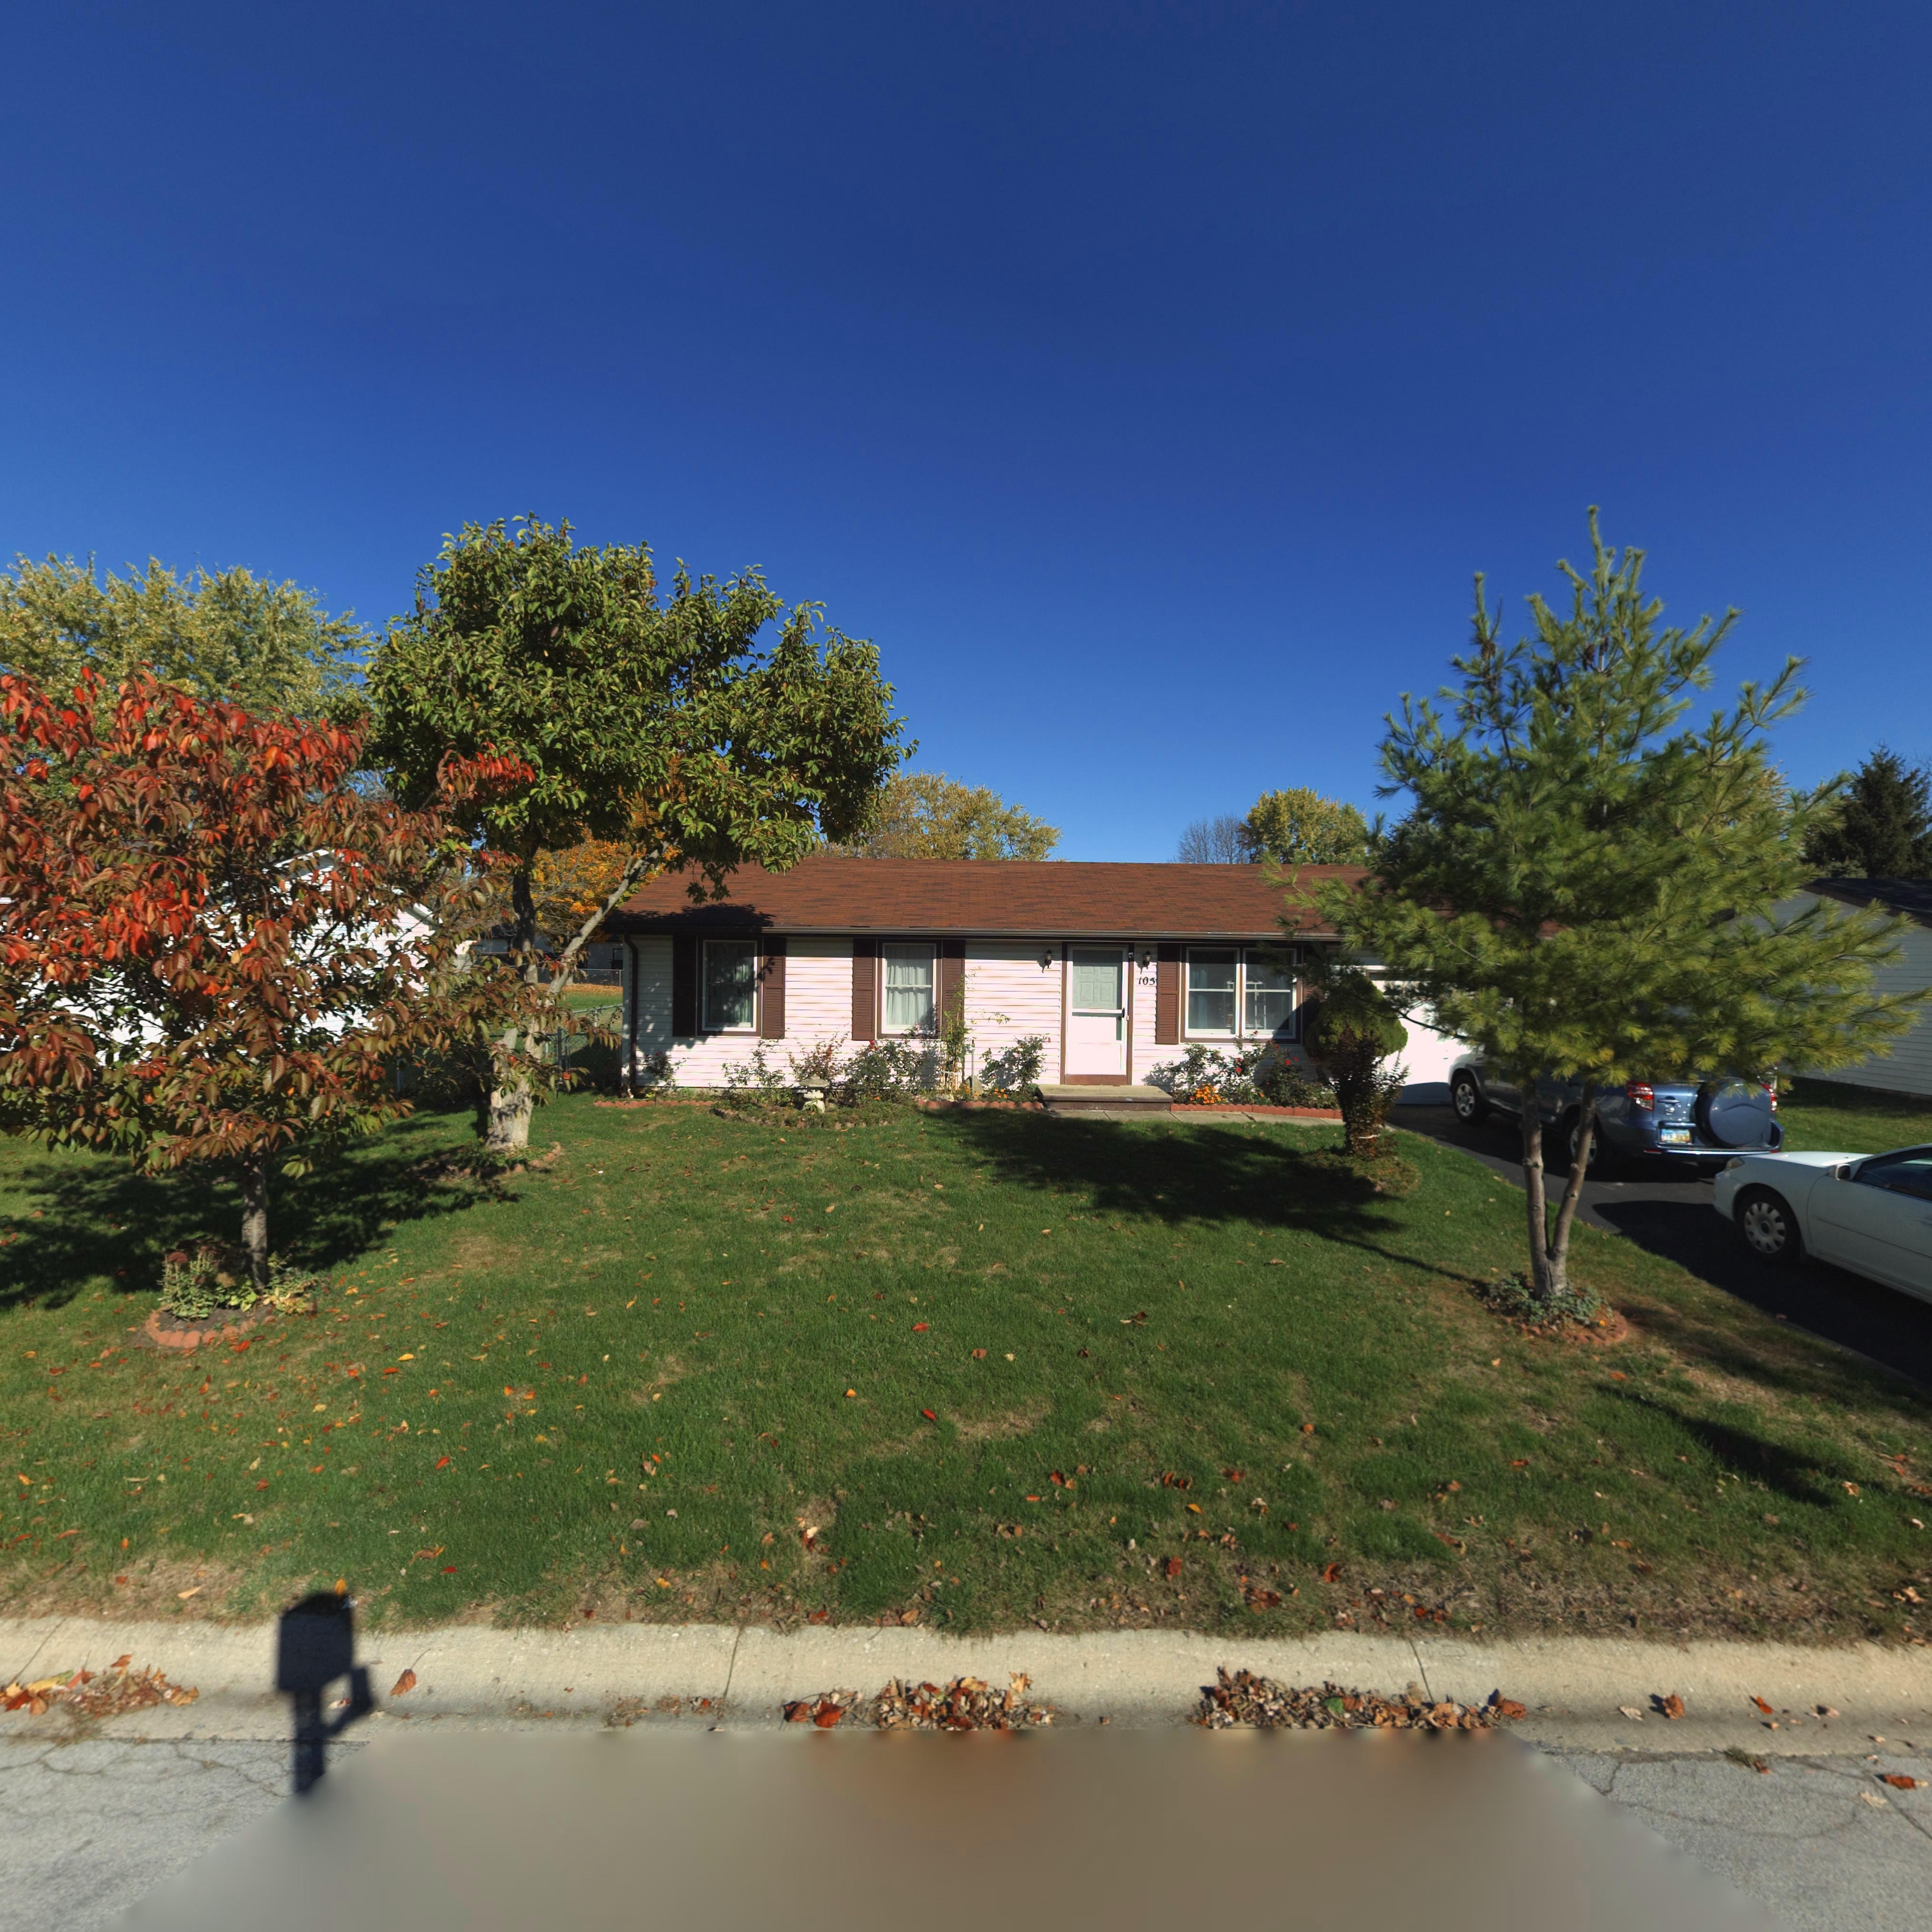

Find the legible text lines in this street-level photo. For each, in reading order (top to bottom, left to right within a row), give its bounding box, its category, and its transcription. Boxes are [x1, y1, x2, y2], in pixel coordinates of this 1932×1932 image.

[1137, 976, 1157, 986] StreetNumber: 105